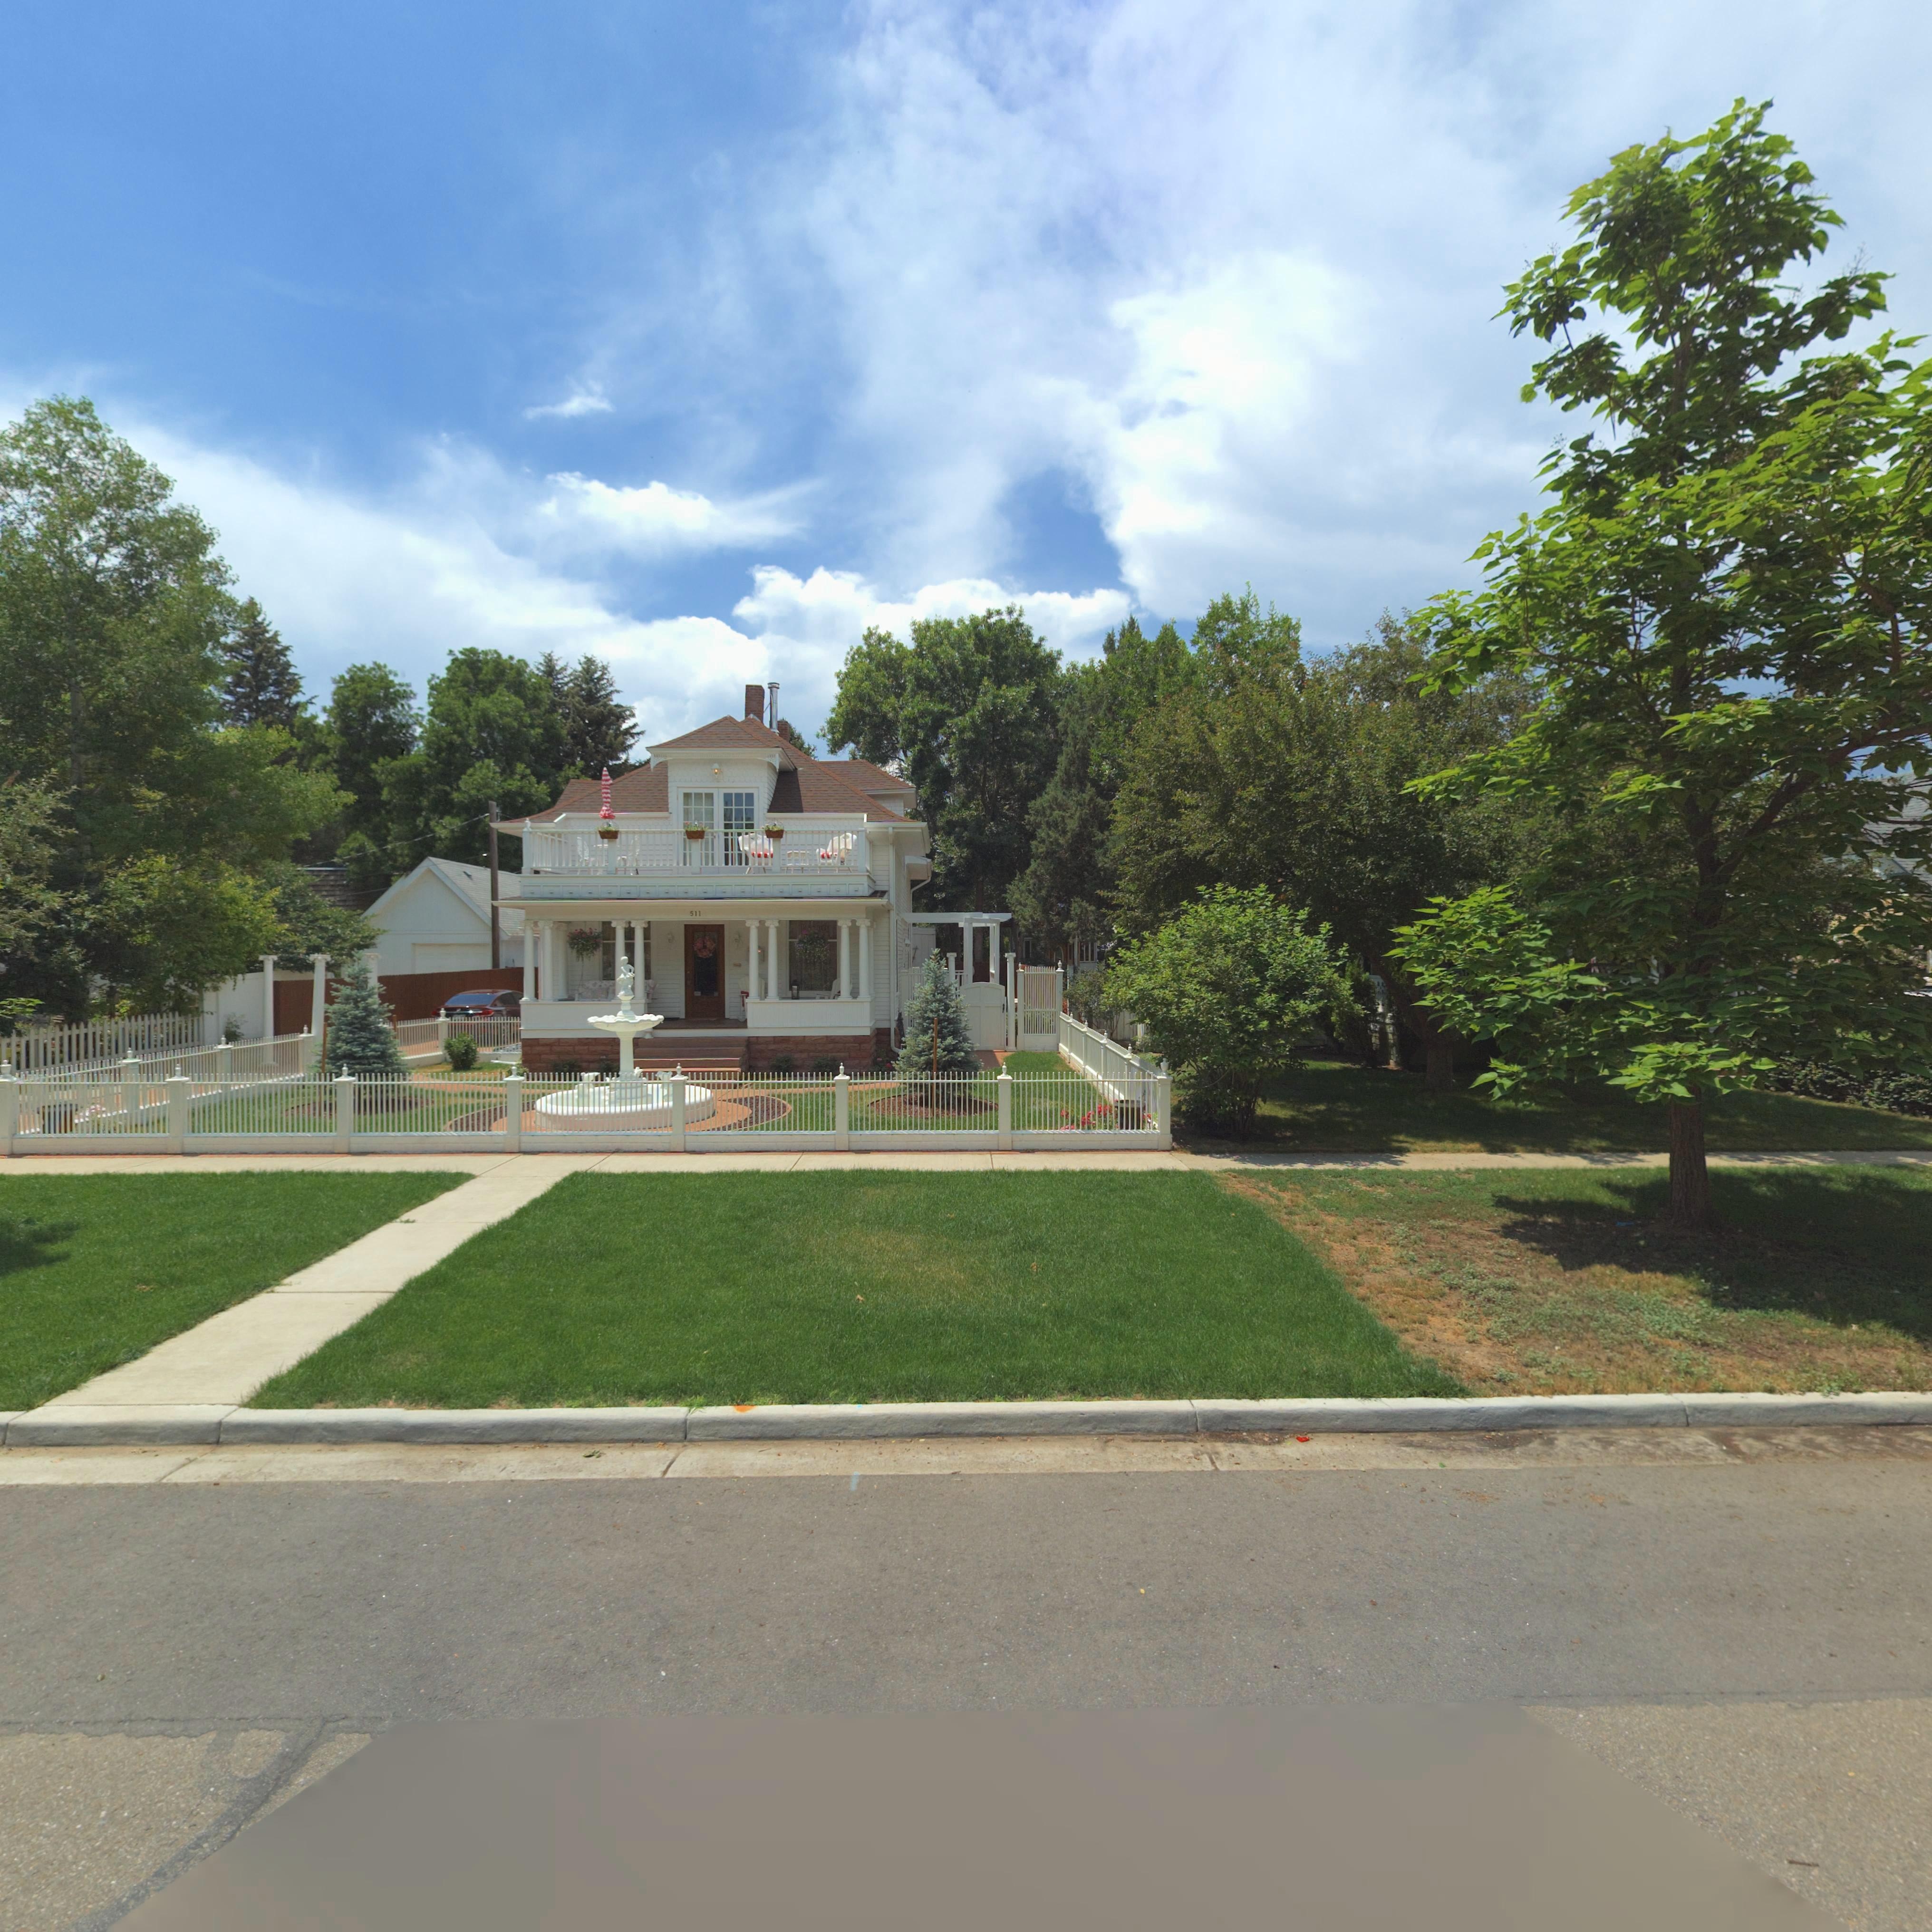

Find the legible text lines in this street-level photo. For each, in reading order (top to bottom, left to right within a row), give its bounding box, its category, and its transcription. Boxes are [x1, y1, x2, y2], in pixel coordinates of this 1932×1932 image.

[689, 910, 701, 917] StreetNumber: 511